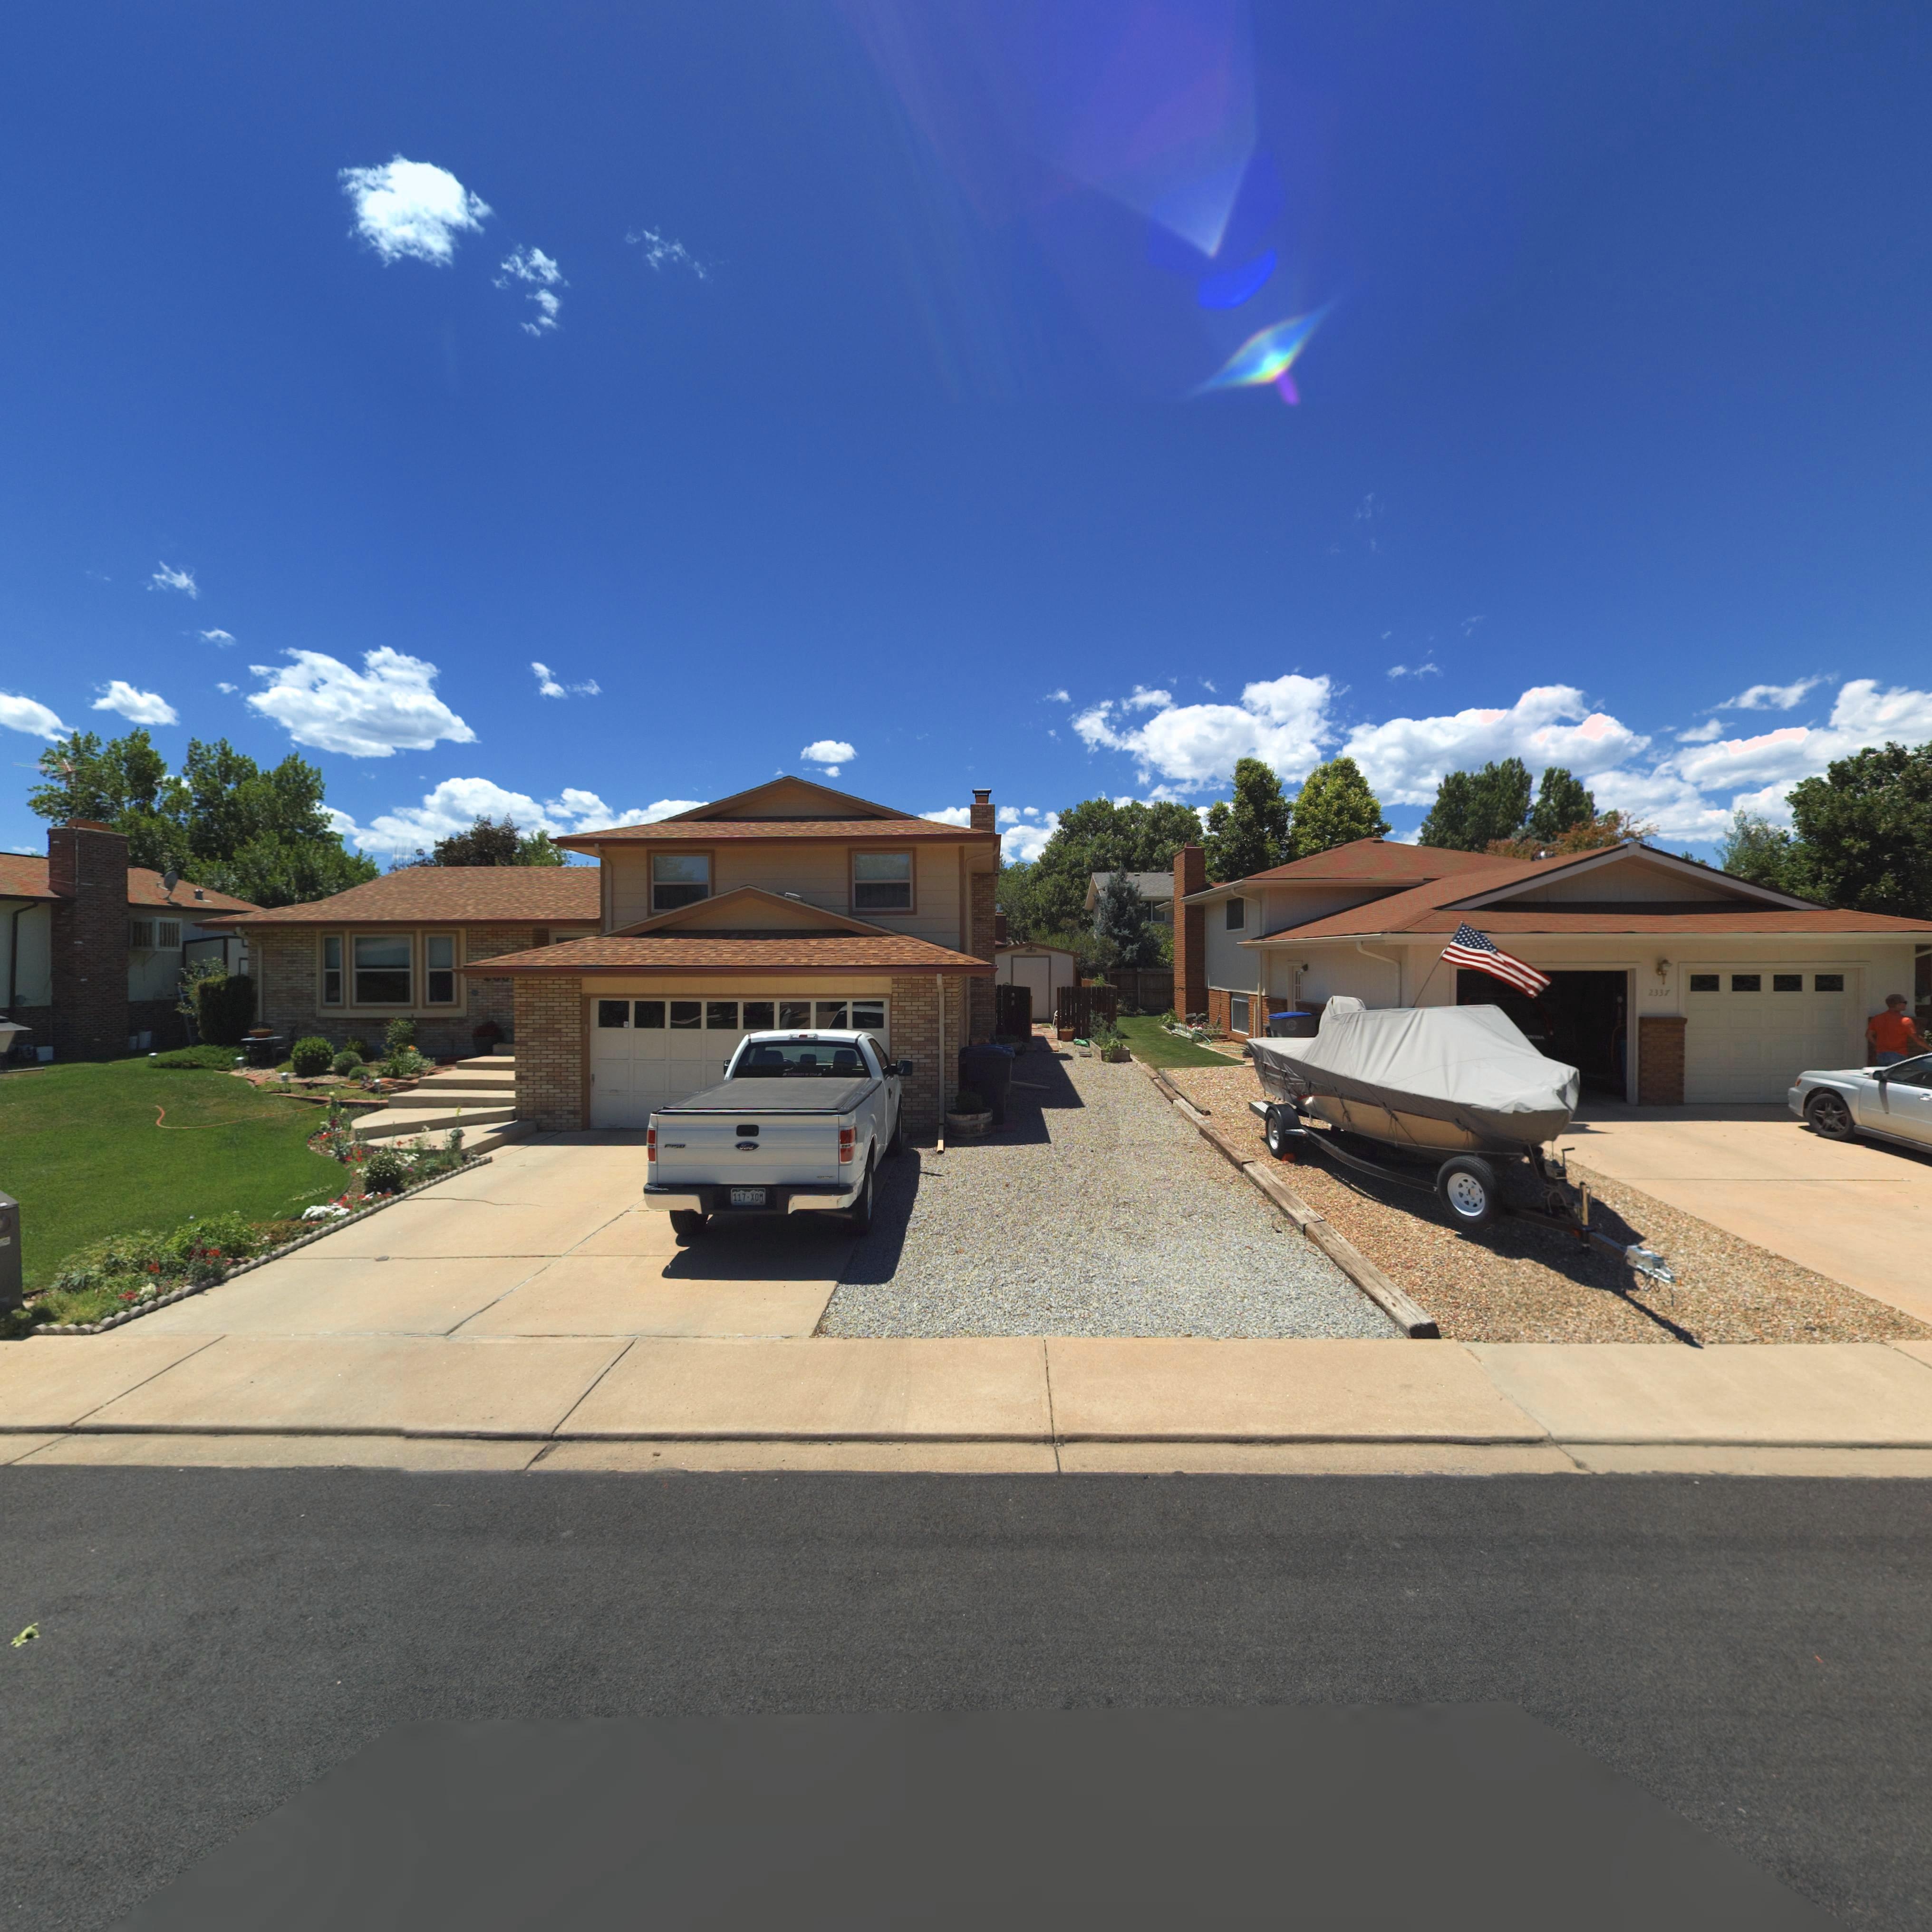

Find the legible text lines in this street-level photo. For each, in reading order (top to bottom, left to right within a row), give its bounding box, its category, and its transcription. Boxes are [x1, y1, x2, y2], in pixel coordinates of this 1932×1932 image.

[1648, 988, 1670, 996] StreetNumber: 2337